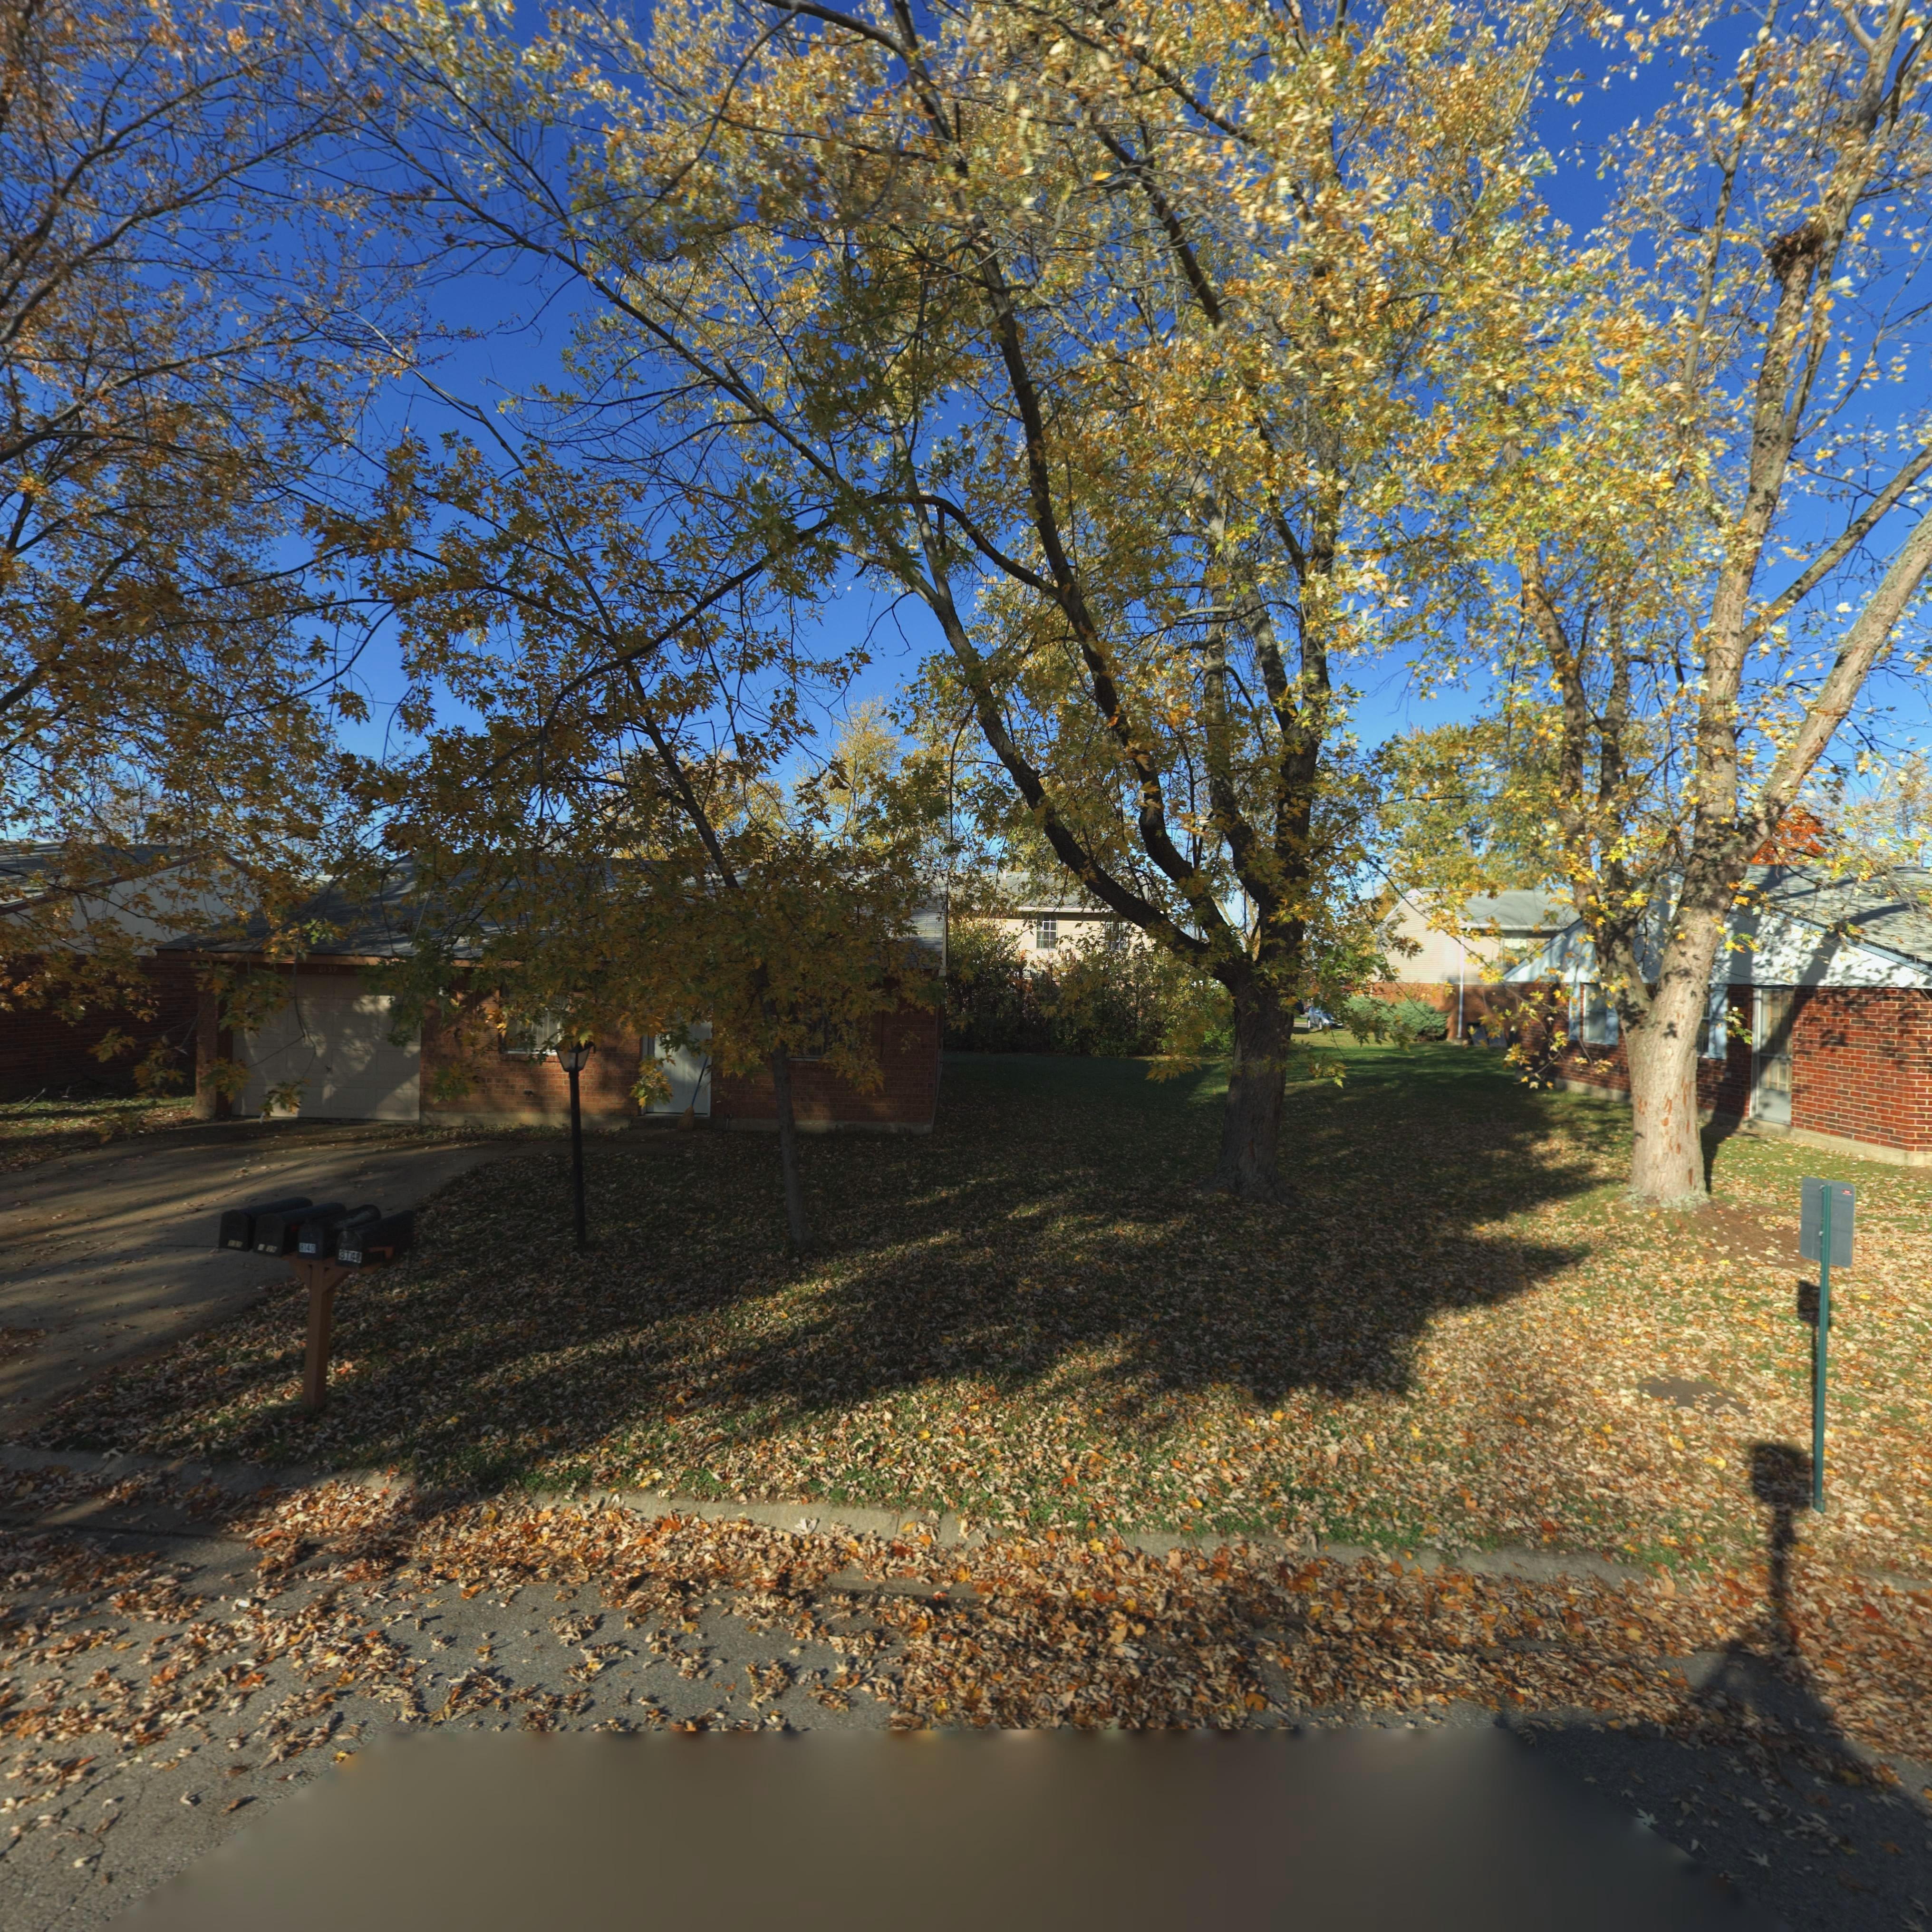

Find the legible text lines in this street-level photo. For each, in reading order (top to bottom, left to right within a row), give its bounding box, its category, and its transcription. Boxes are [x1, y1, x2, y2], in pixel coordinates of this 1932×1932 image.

[317, 964, 338, 974] StreetNumber: 8139
[266, 1245, 273, 1252] StreetNumber: 3
[299, 1243, 316, 1253] StreetNumber: 8140
[338, 1249, 362, 1263] StreetNumber: 8148